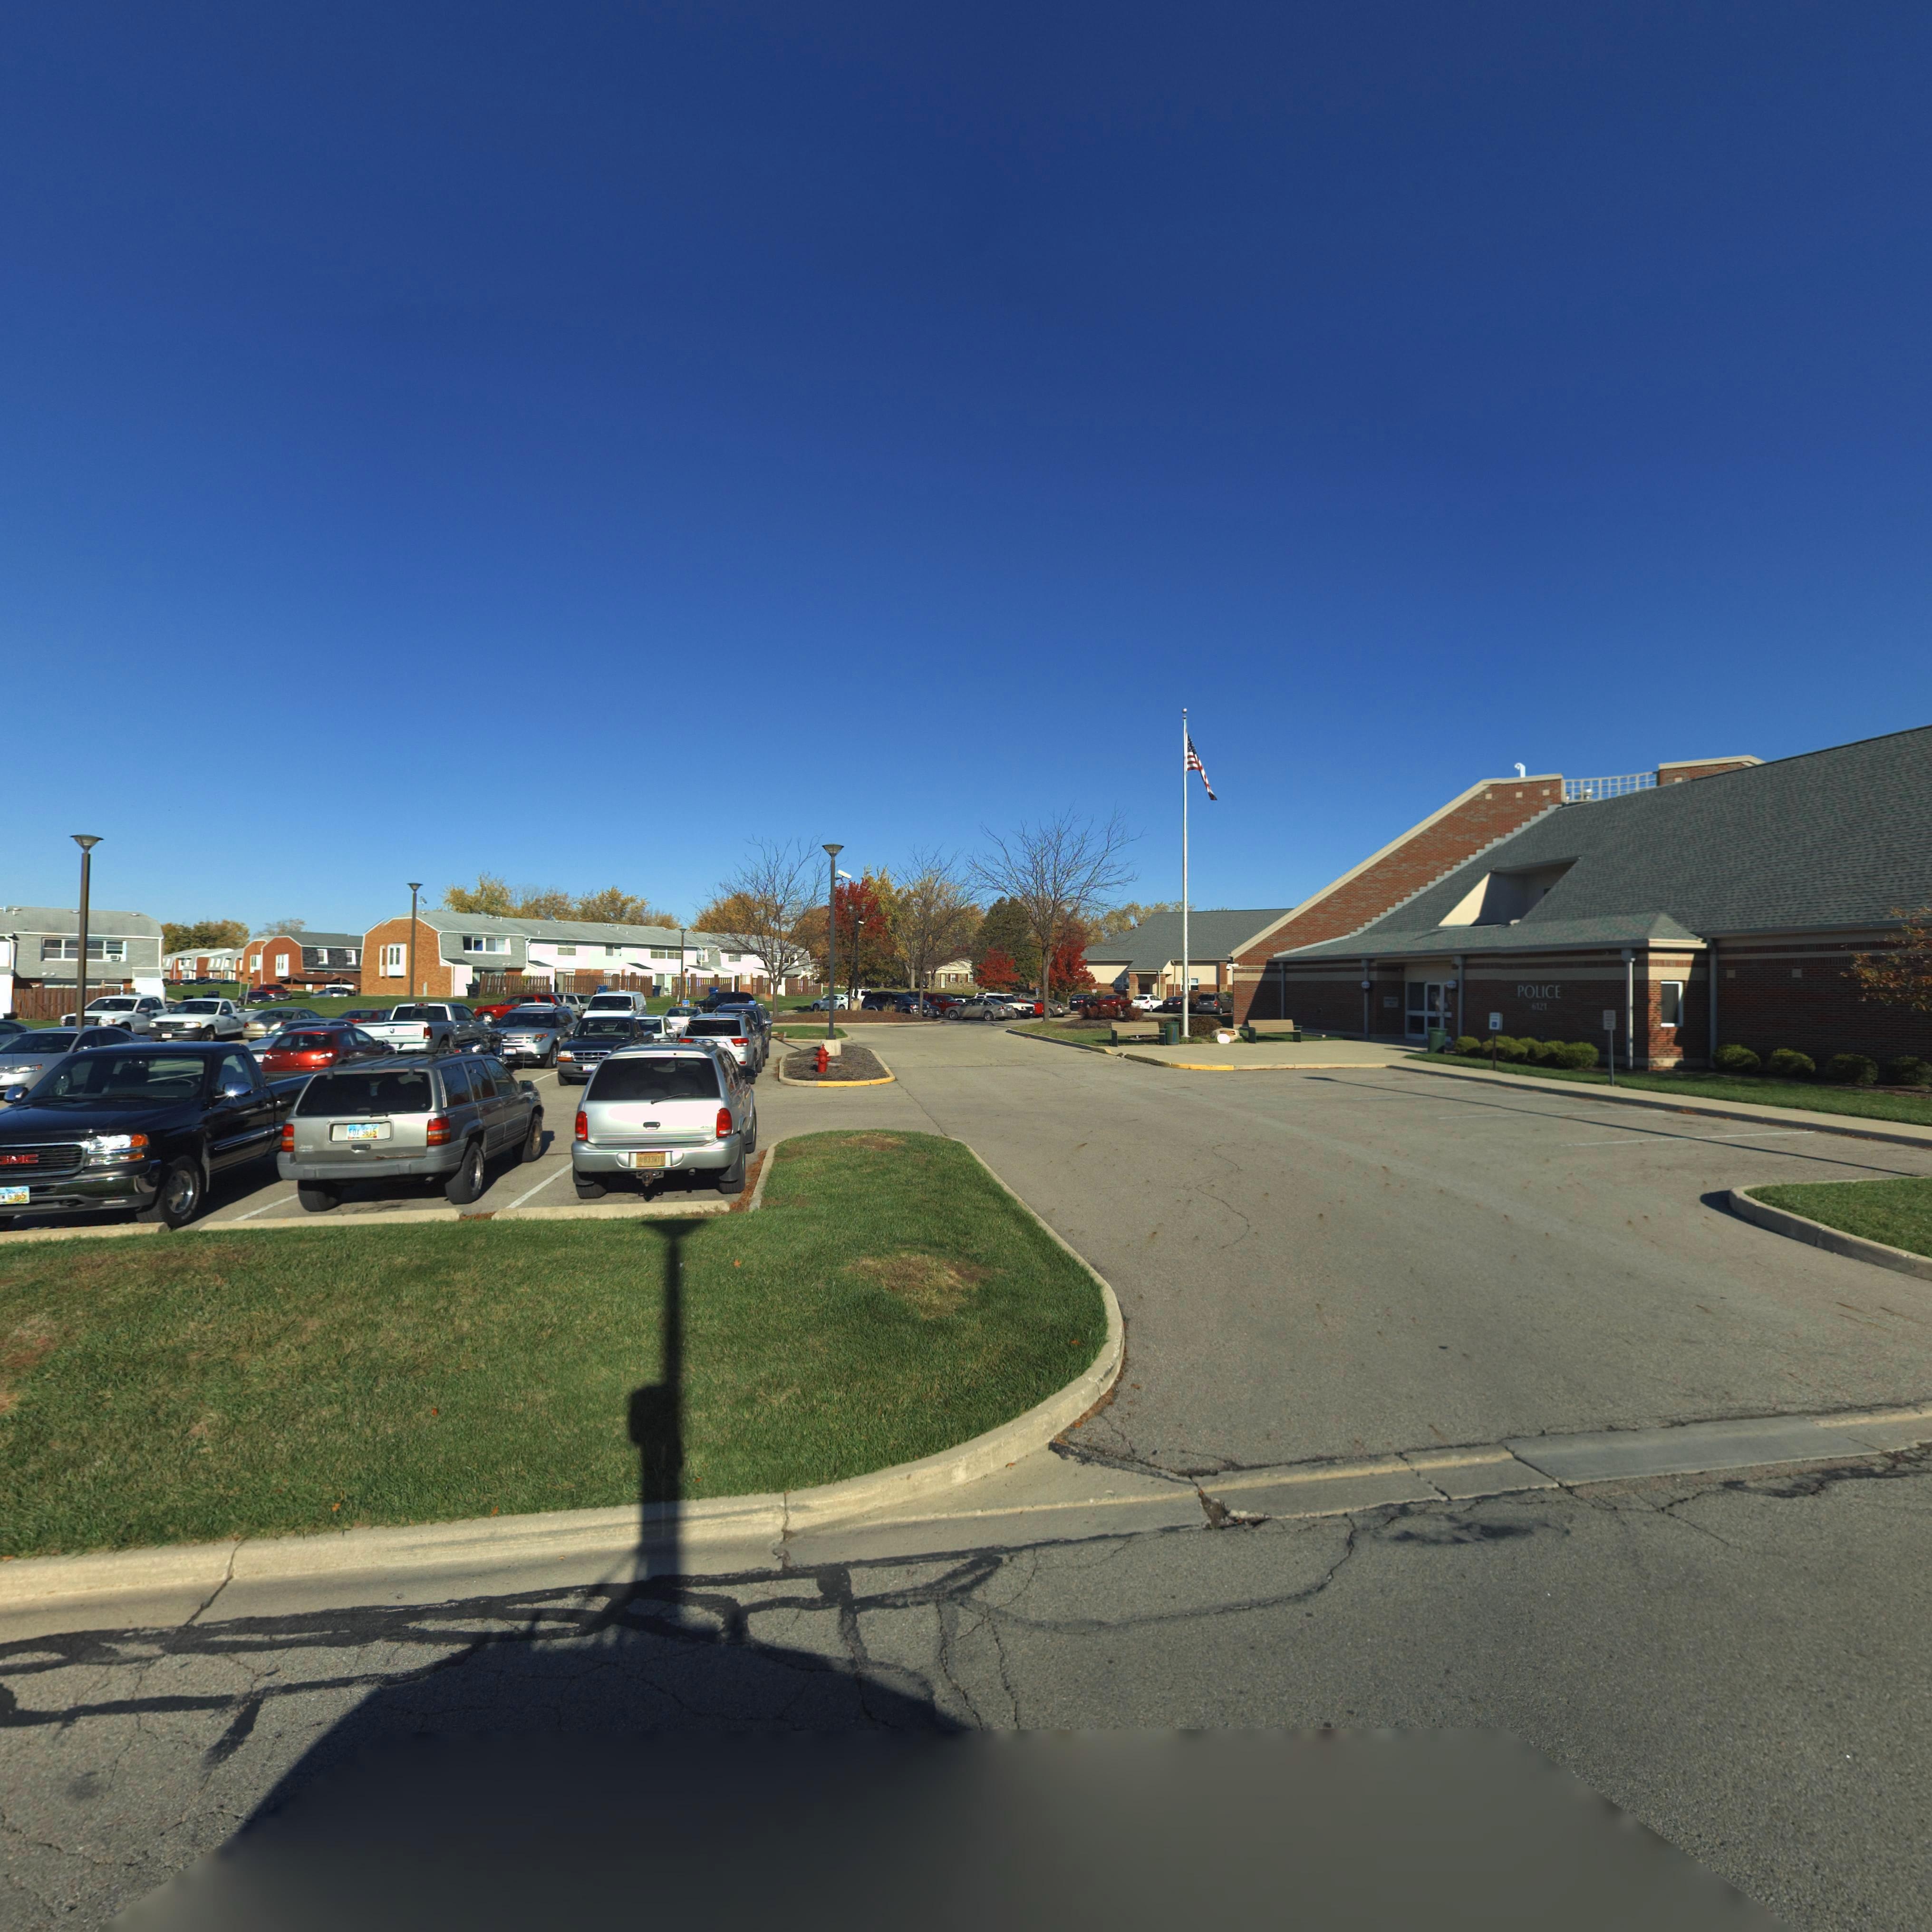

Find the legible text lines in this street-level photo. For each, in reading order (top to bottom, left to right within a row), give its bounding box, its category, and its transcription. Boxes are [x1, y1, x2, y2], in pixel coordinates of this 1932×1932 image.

[1531, 1002, 1548, 1011] StreetNumber: 6121